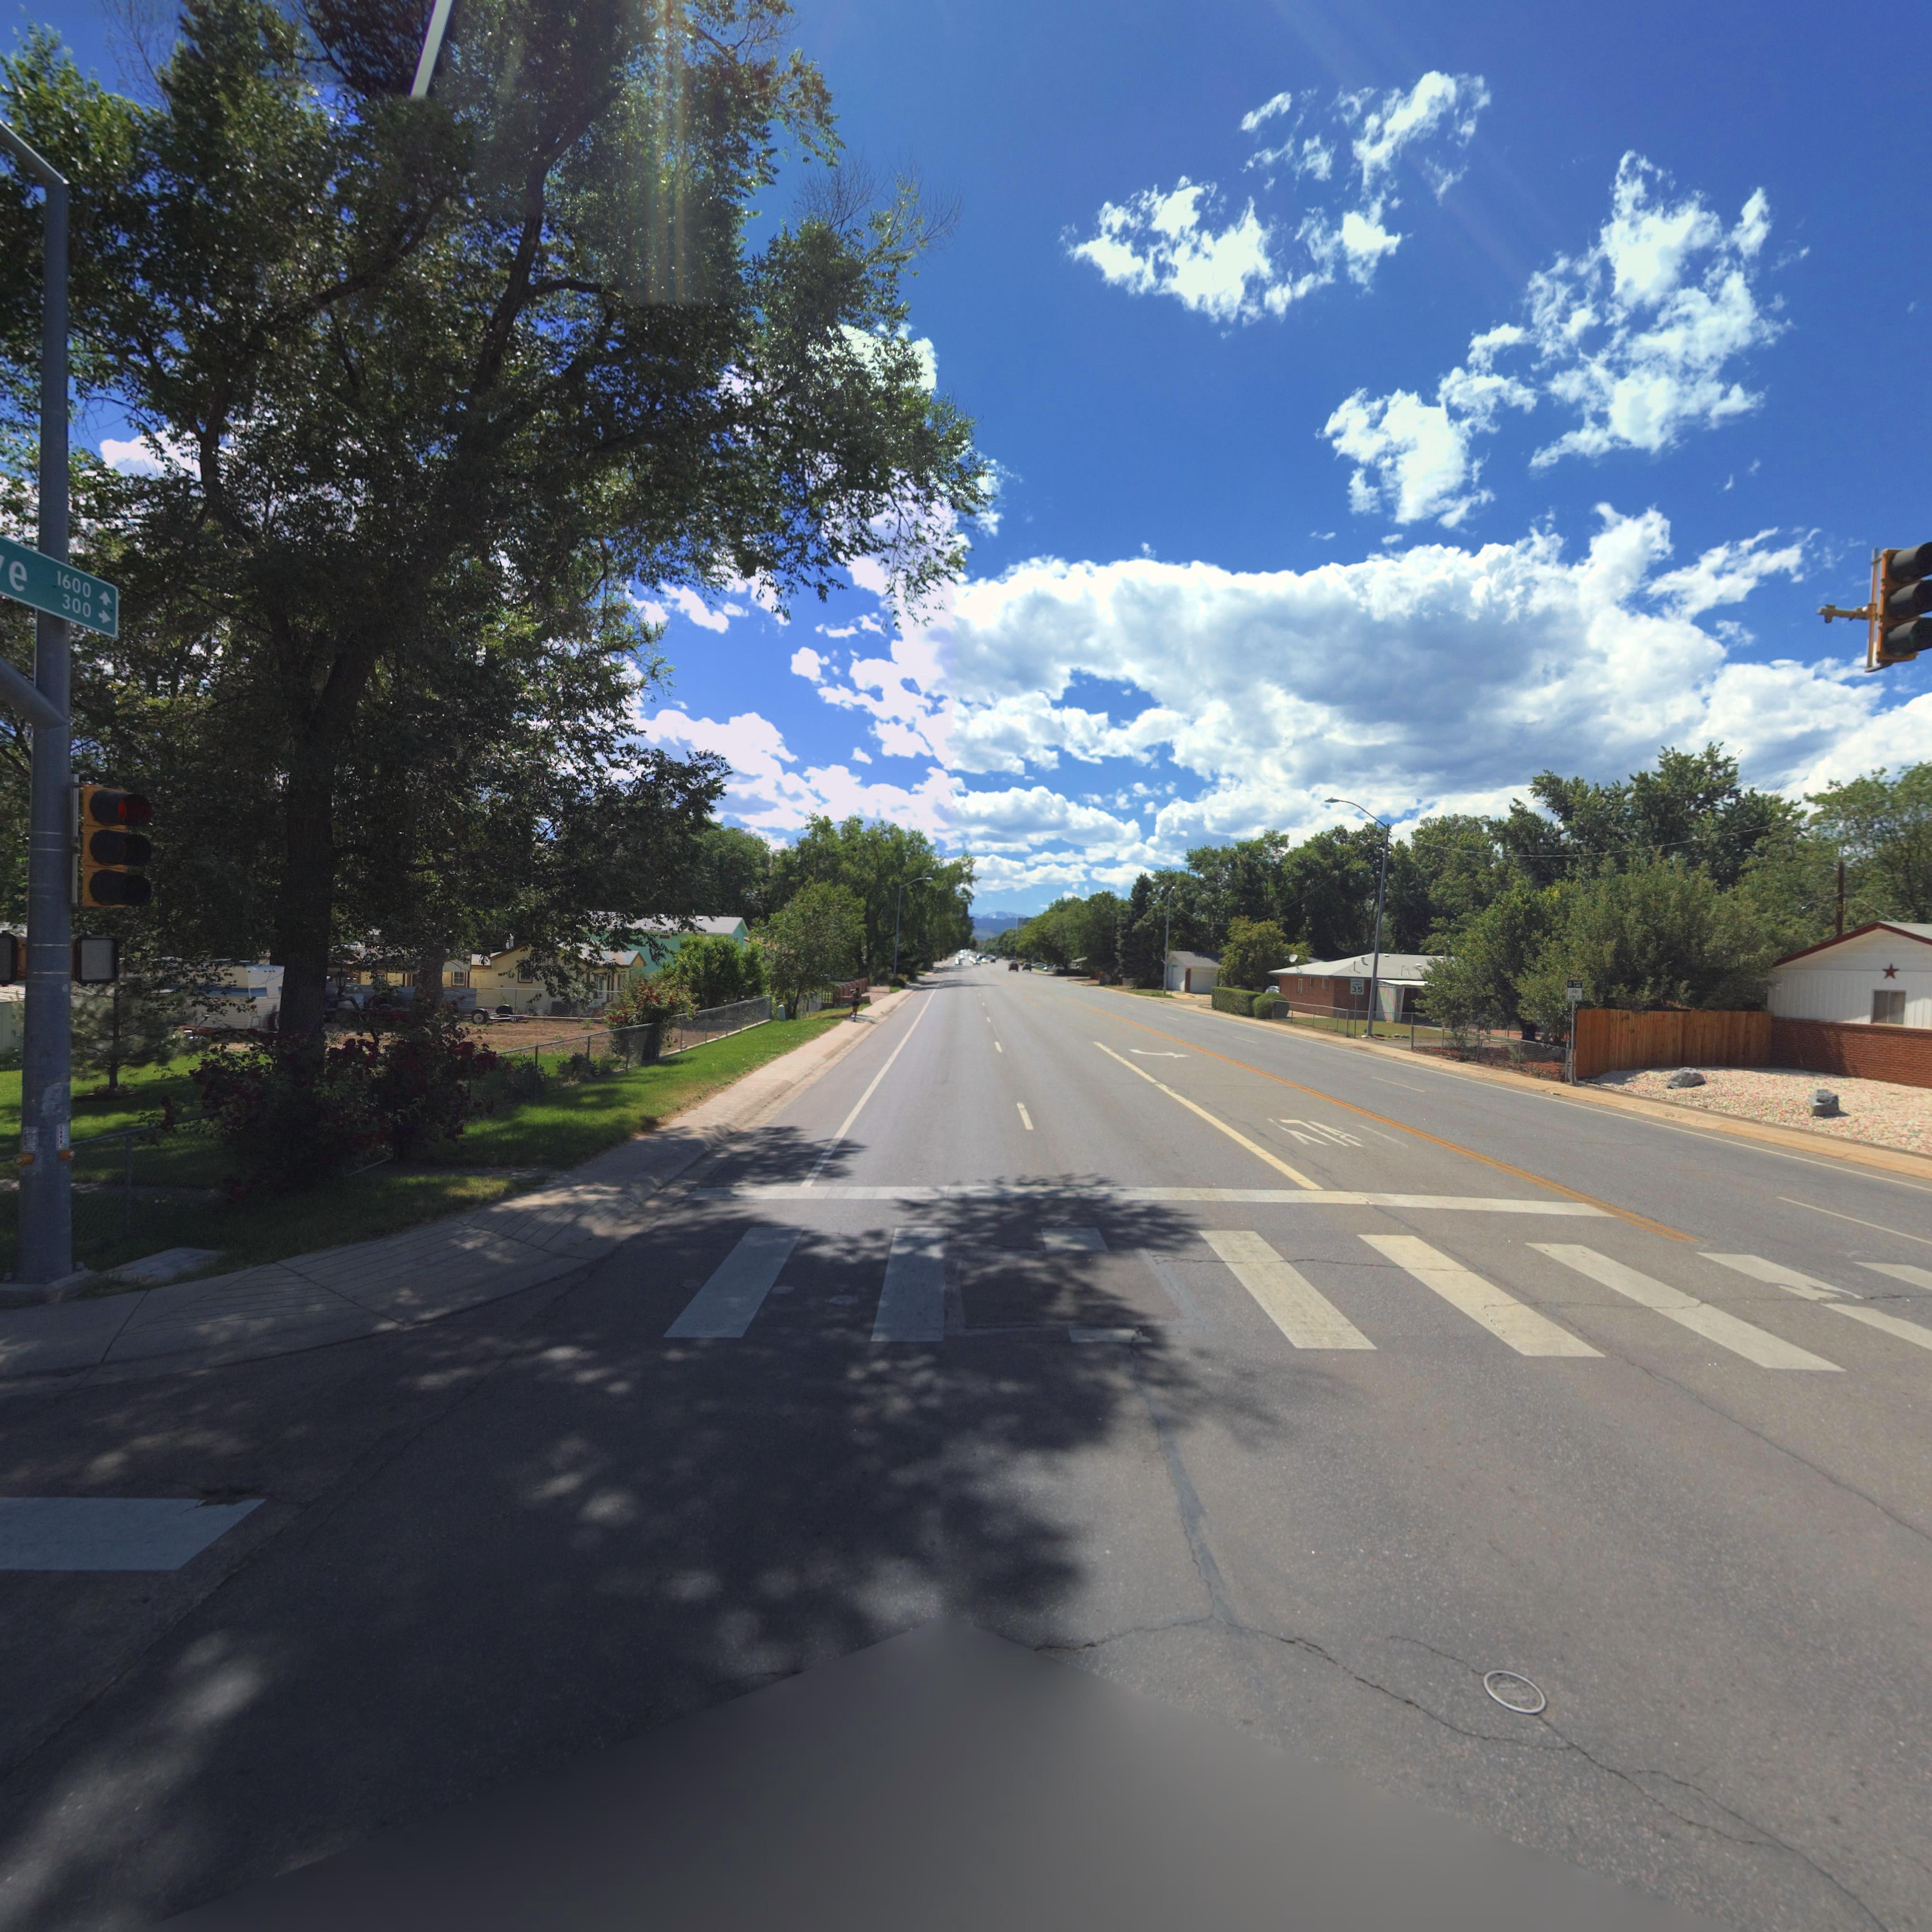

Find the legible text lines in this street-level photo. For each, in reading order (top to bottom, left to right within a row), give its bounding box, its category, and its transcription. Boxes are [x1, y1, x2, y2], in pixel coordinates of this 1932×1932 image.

[57, 570, 91, 598] StreetNumberRange: 1600
[61, 593, 113, 624] StreetNumberRange: 300->